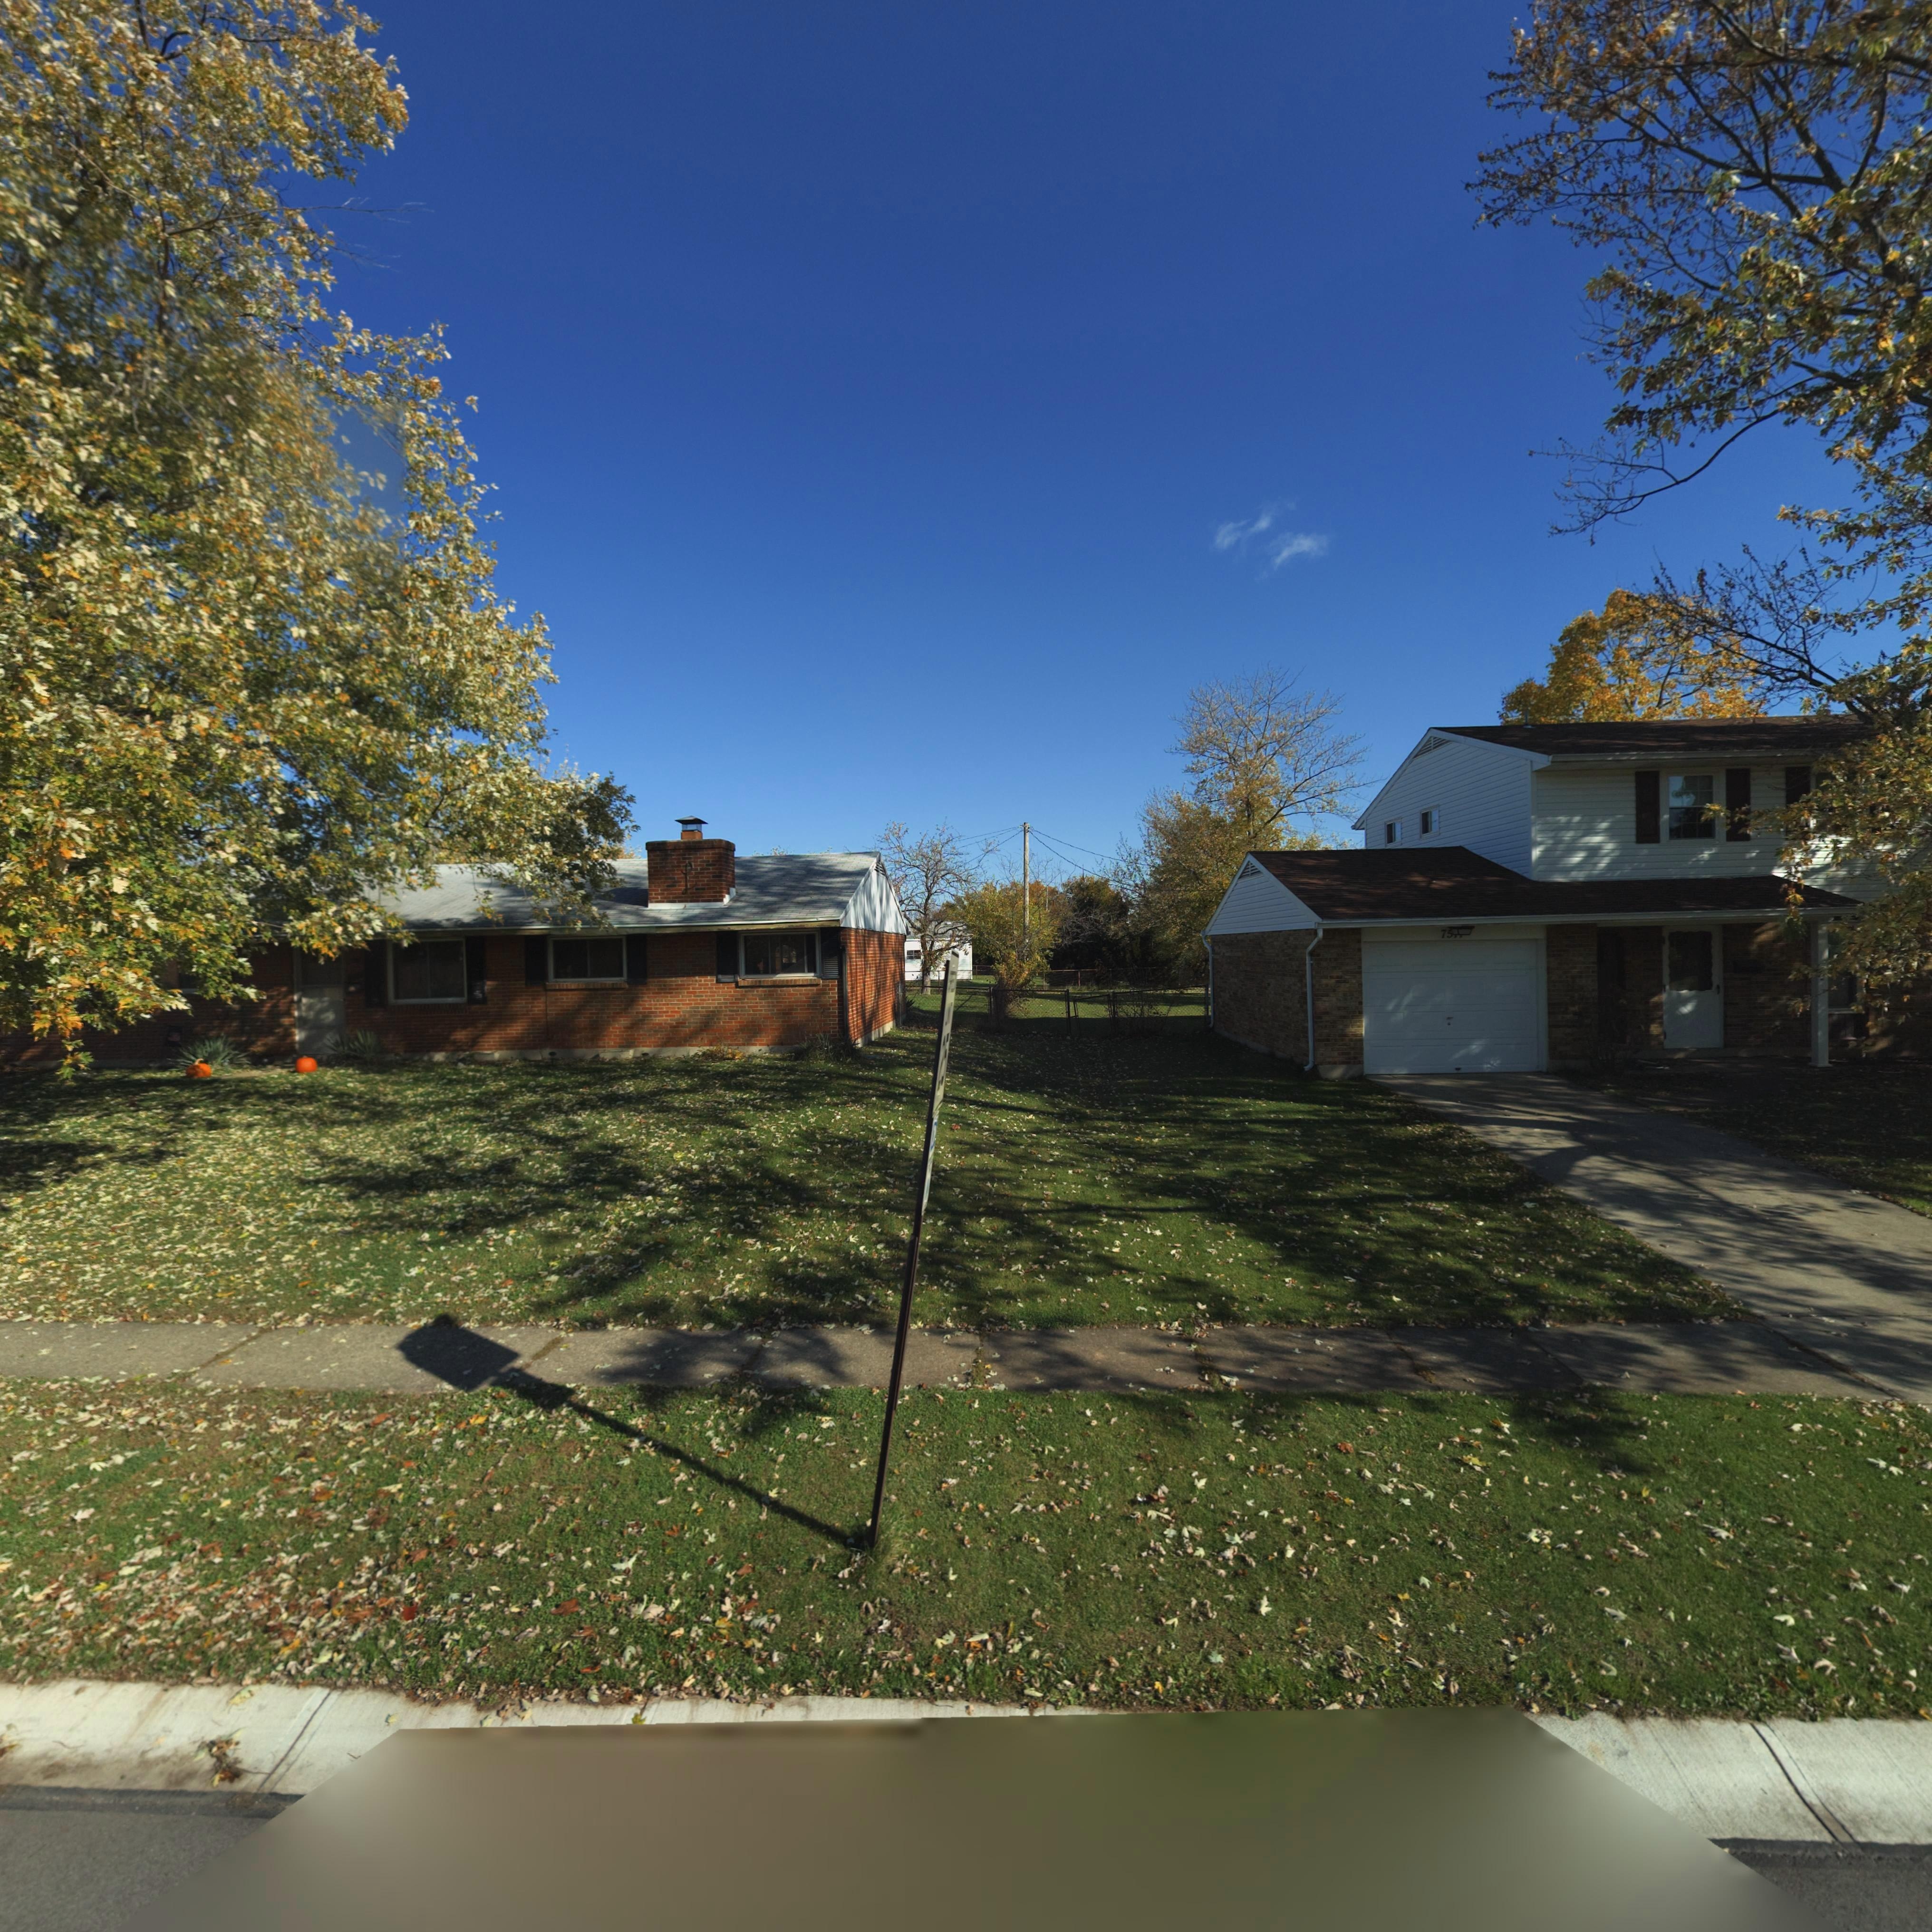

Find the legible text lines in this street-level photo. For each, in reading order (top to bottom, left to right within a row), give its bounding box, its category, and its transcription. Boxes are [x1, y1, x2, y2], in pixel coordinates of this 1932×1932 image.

[1439, 928, 1454, 940] StreetNumber: 7*